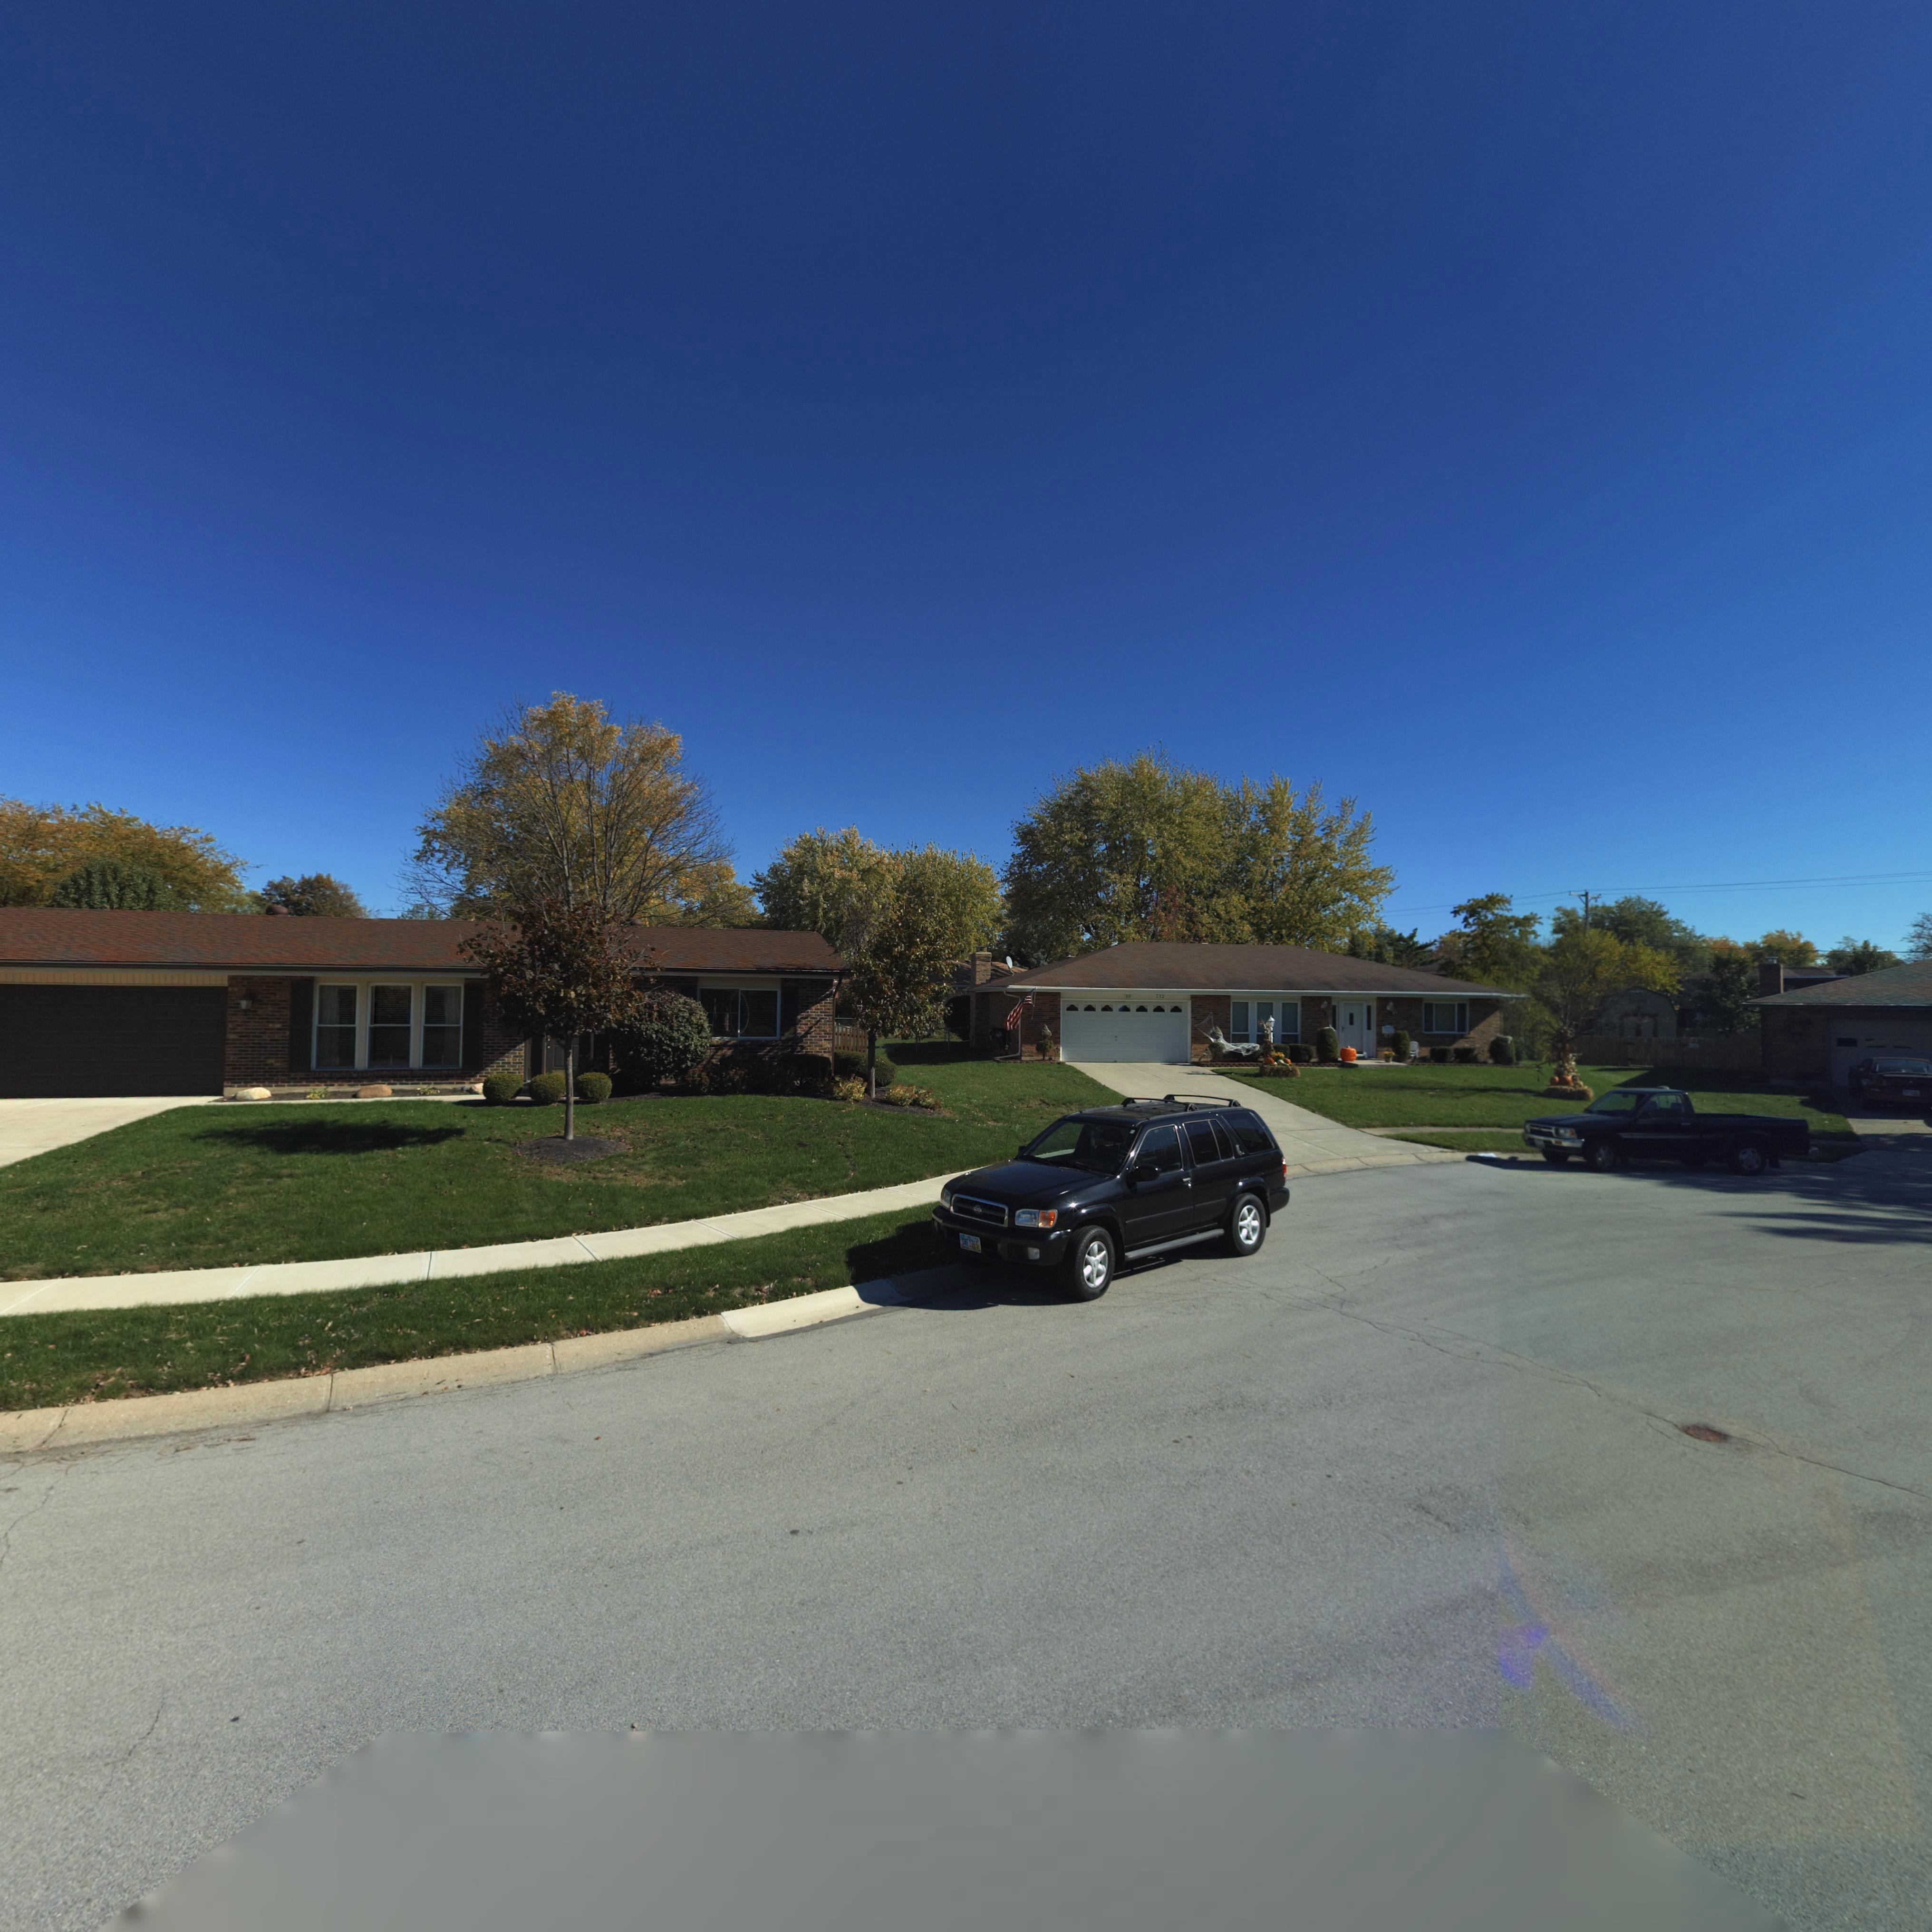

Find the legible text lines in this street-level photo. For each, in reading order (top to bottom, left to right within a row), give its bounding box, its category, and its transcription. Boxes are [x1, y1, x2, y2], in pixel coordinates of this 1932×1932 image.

[1156, 994, 1165, 998] StreetNumber: 712